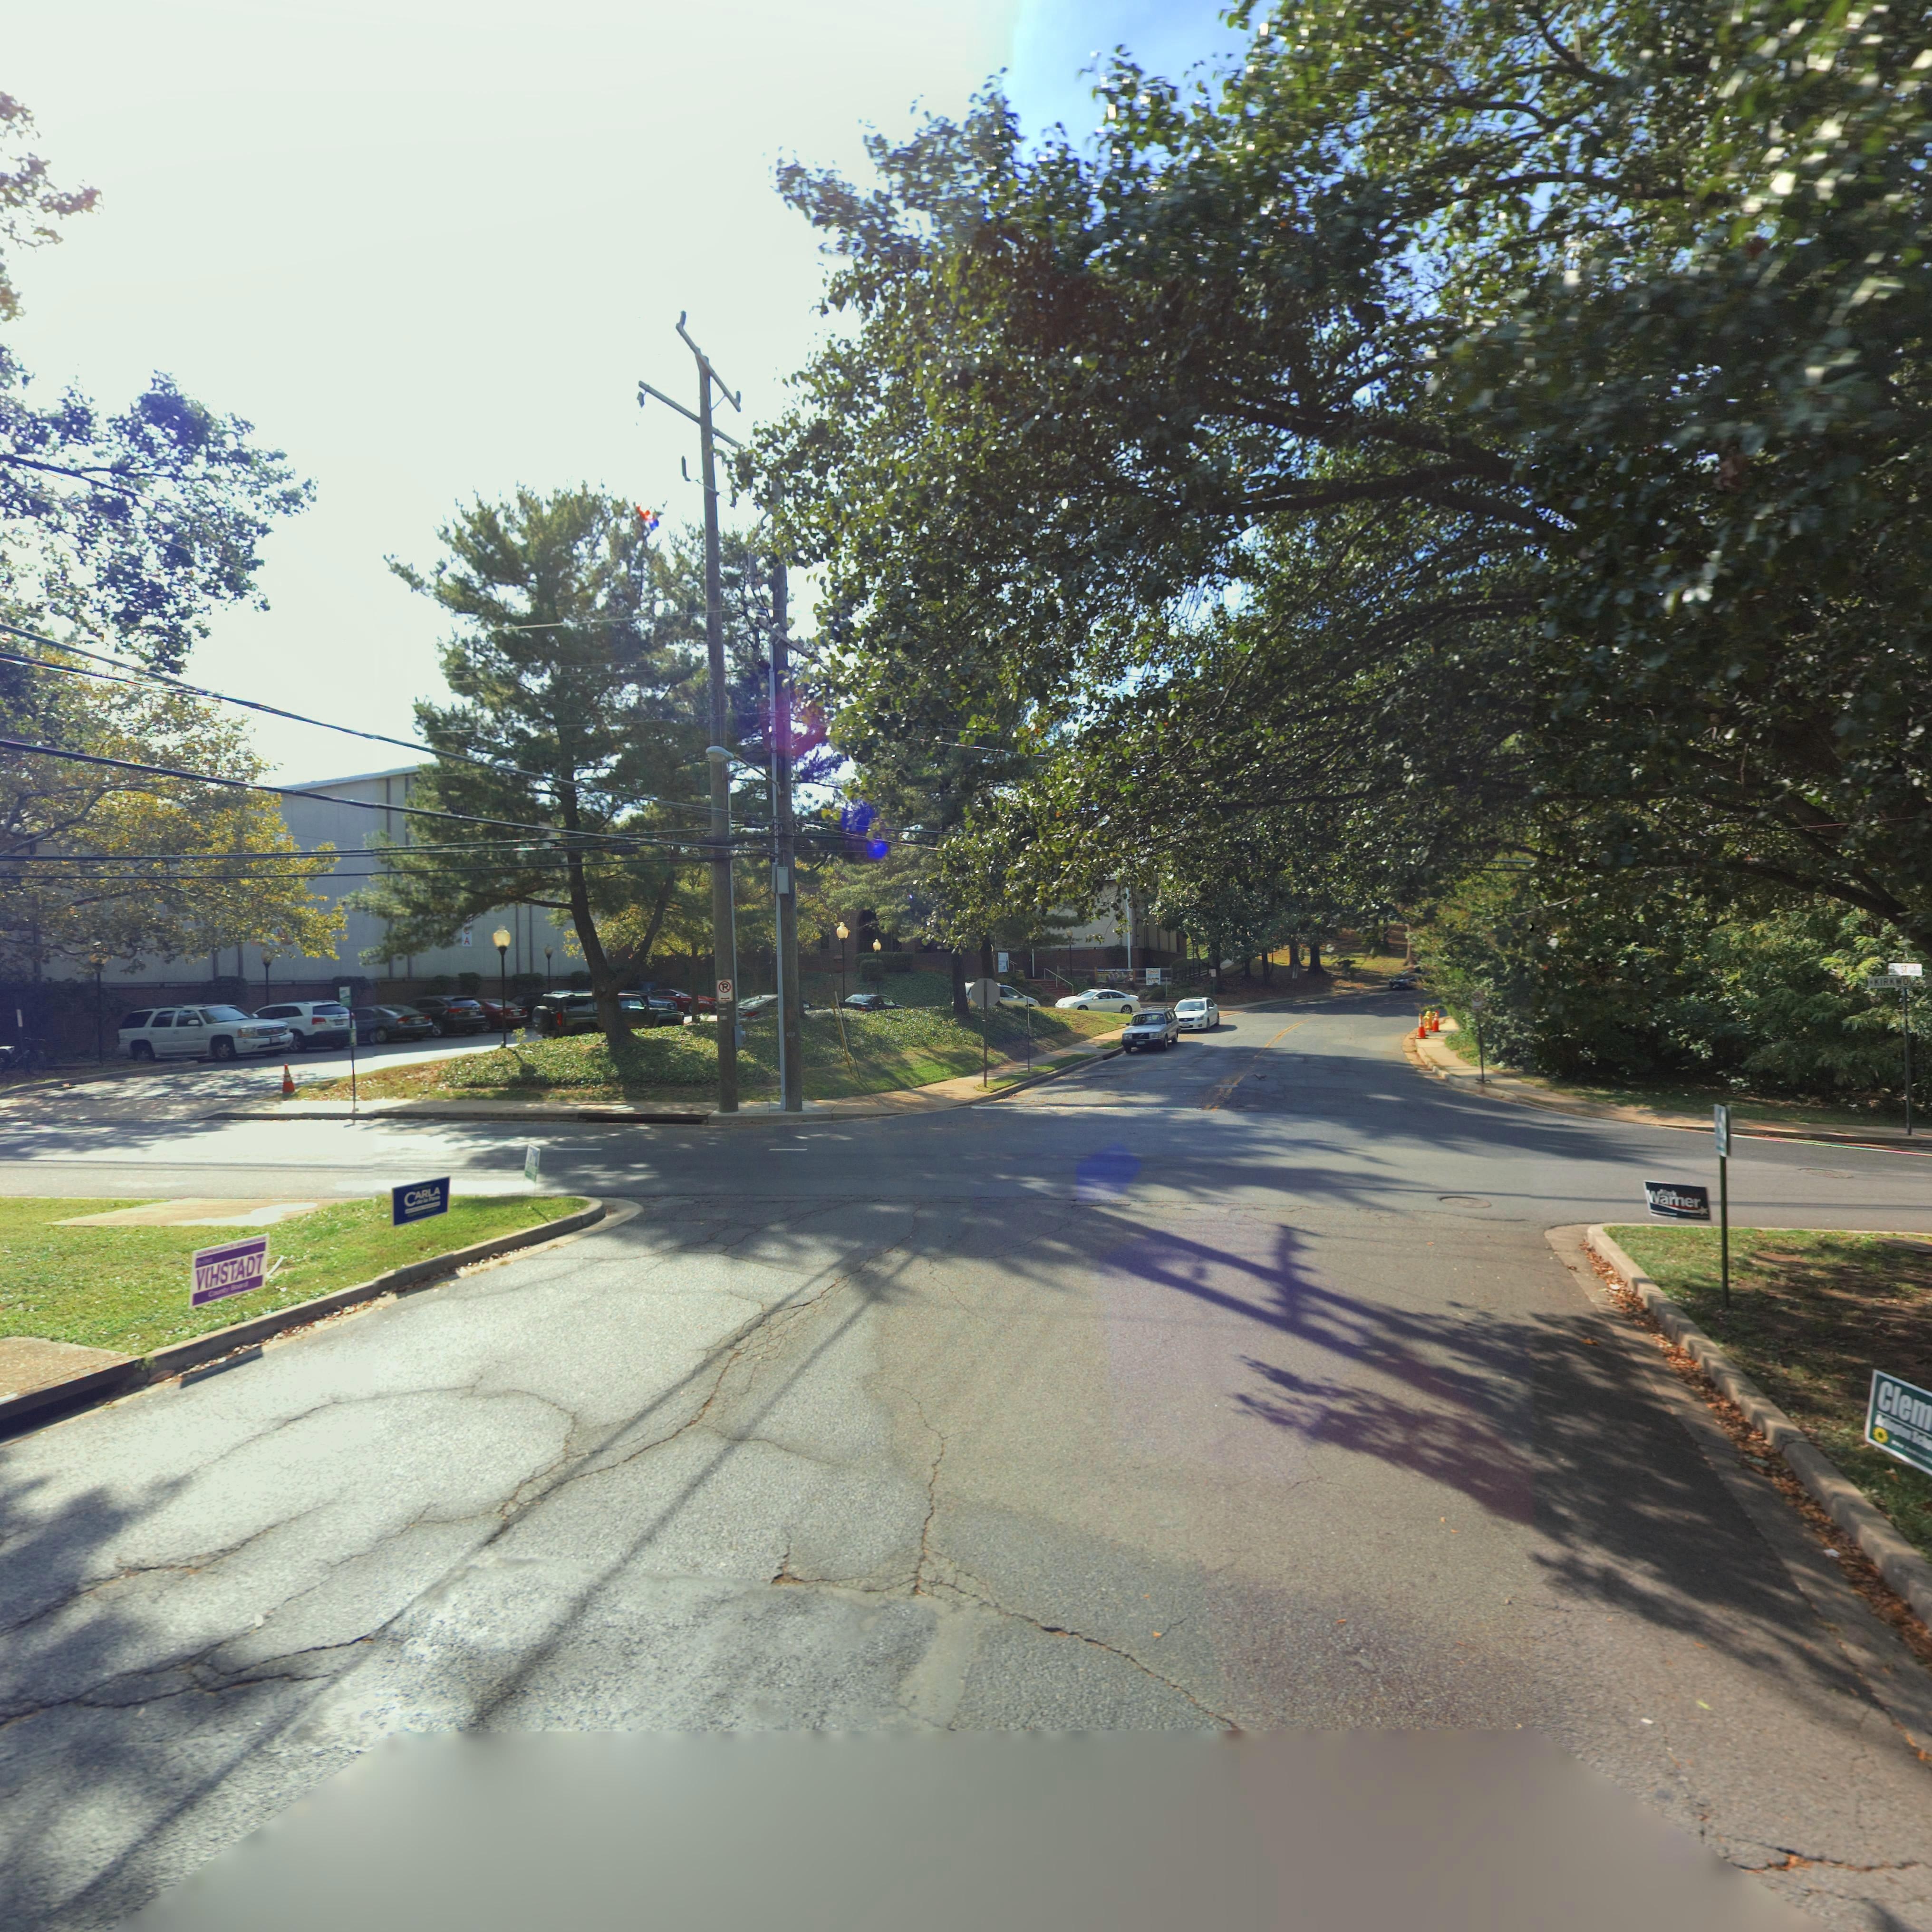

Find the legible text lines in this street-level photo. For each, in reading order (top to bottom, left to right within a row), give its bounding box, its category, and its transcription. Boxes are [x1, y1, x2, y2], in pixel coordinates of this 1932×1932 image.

[463, 937, 471, 946] BusinessName: A
[403, 1186, 441, 1207] None: CARLA
[1646, 1189, 1701, 1209] None: Warner
[195, 1252, 265, 1292] None: VIHSTADT
[207, 1280, 249, 1298] None: County Board
[1876, 1380, 1932, 1432] None: Clem
[1873, 1412, 1930, 1450] None: Arl*ngton Sch